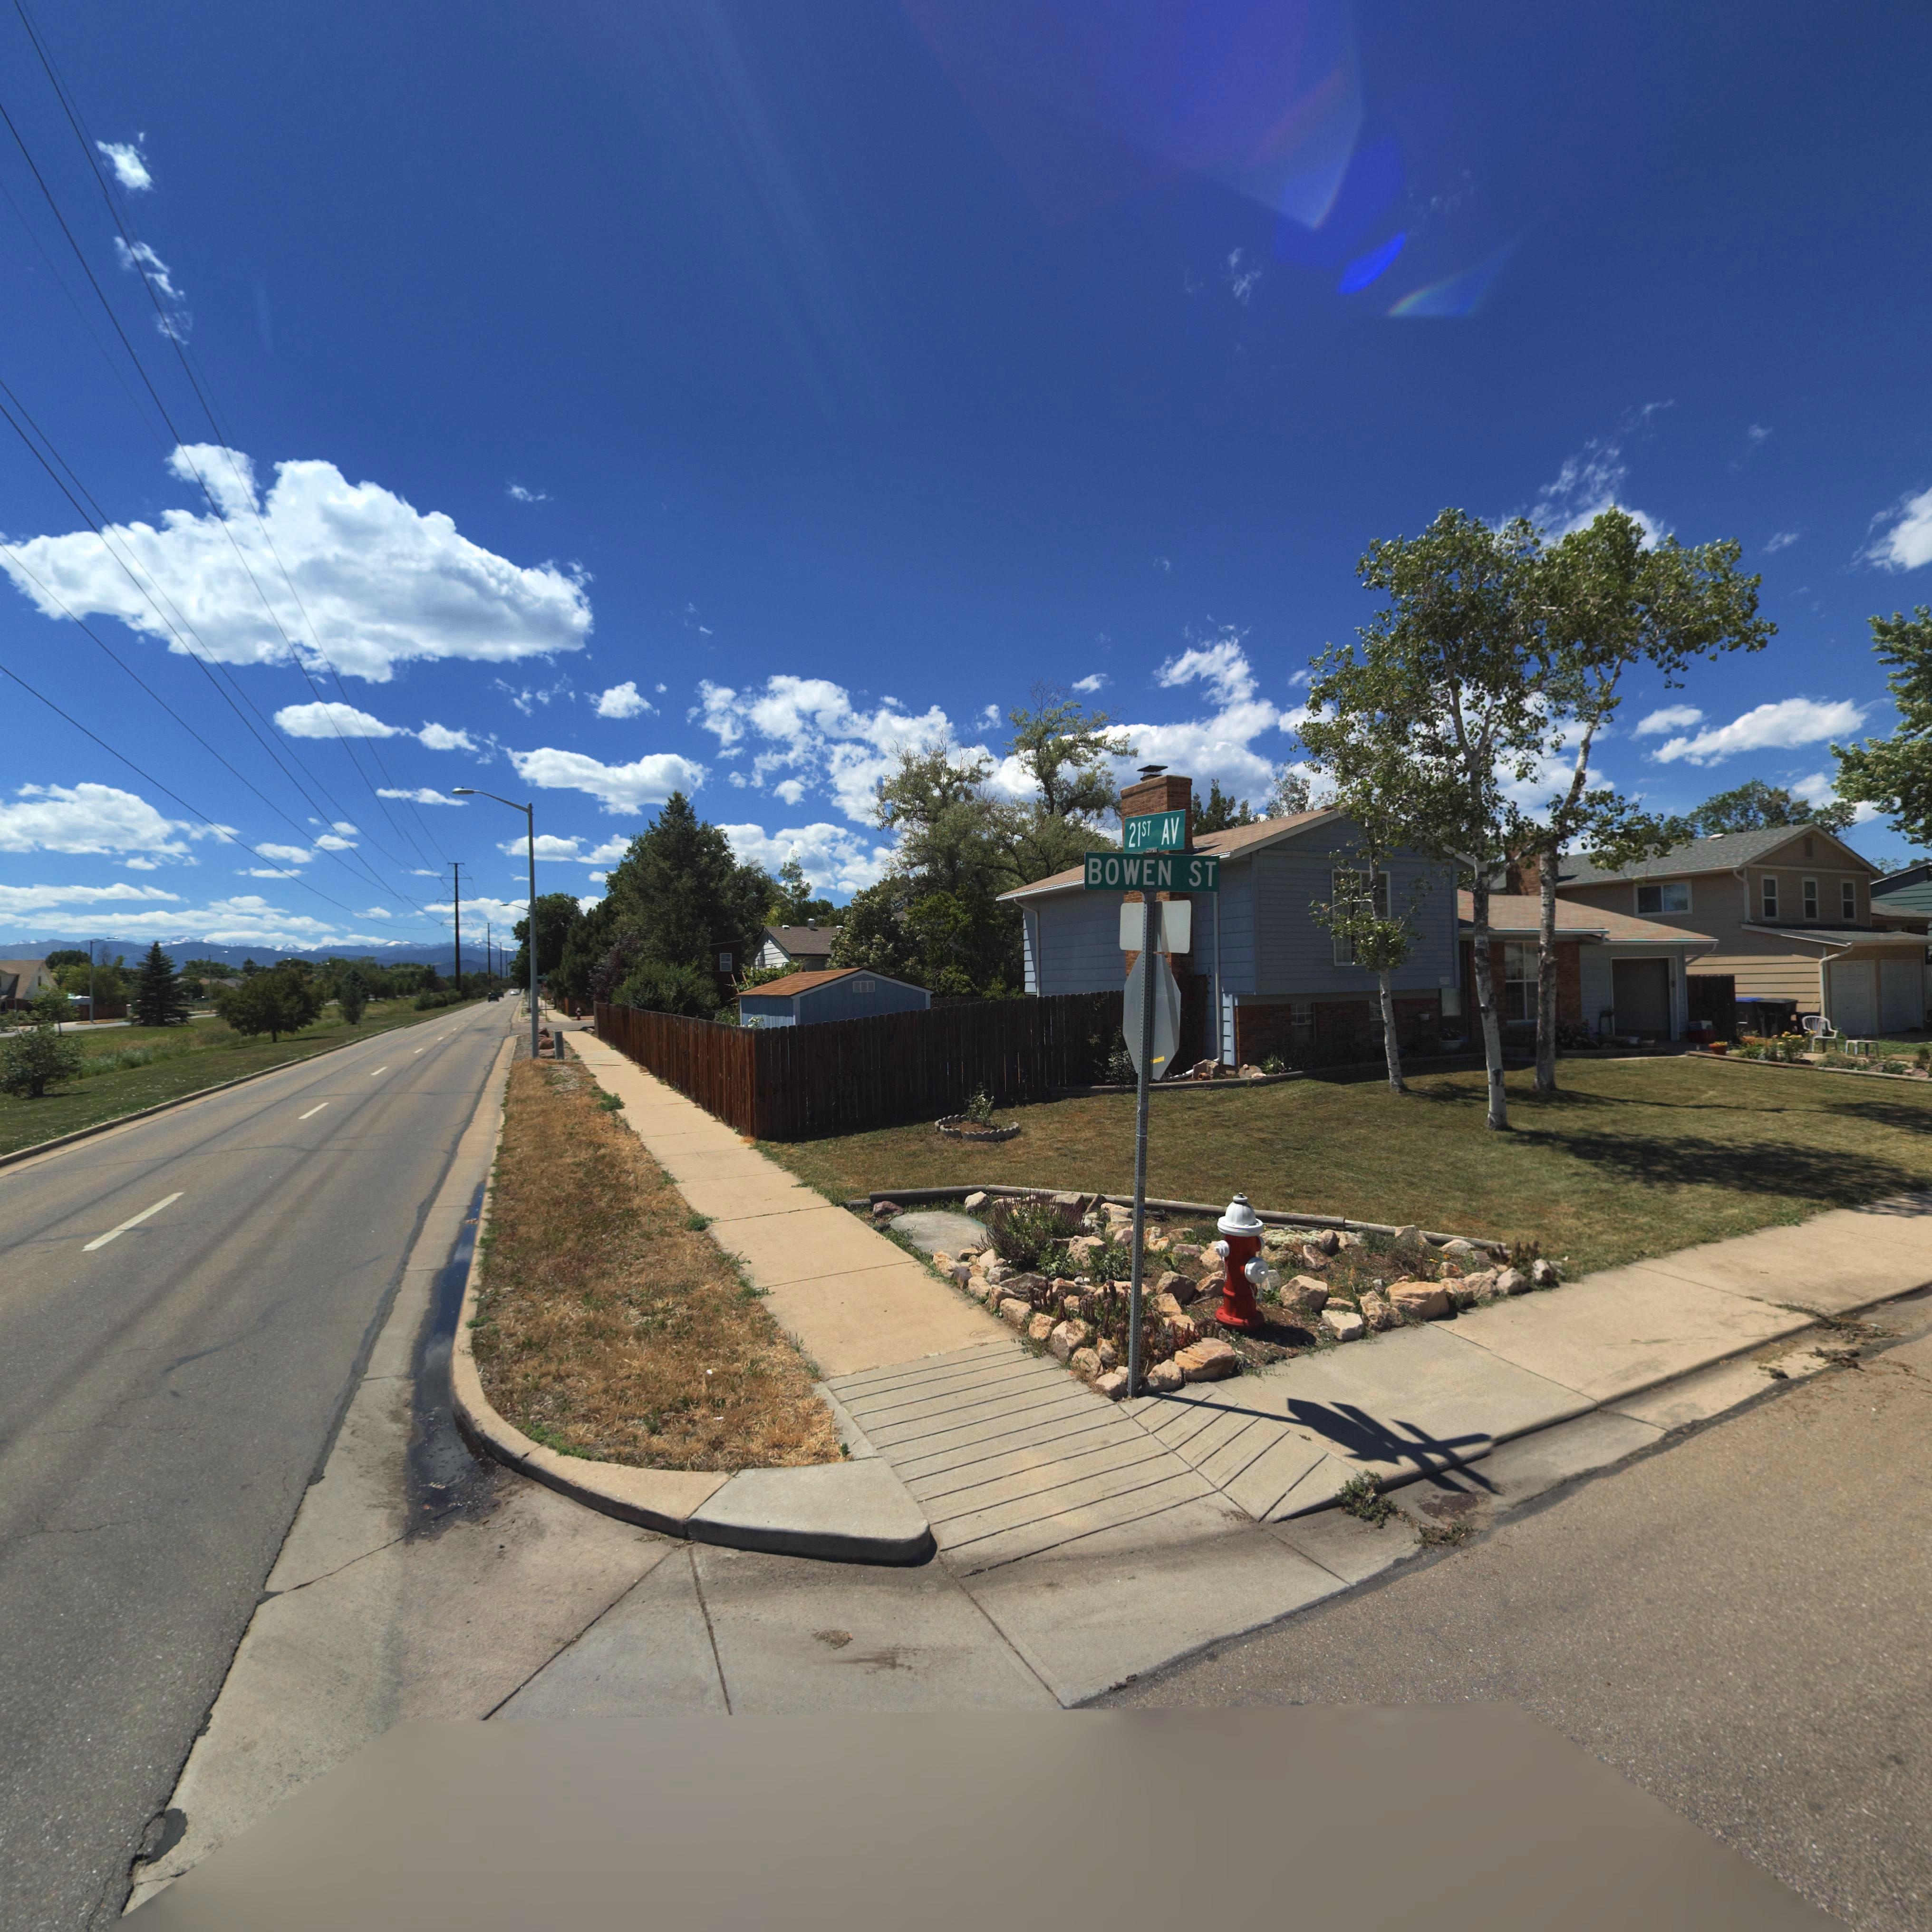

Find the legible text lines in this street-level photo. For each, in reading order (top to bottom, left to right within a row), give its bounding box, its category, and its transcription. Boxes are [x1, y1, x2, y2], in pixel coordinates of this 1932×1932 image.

[1128, 816, 1179, 848] StreetName: 21 ST AV
[1088, 857, 1217, 887] StreetName: BOWEN ST
[1439, 977, 1450, 984] StreetNumber: 2101